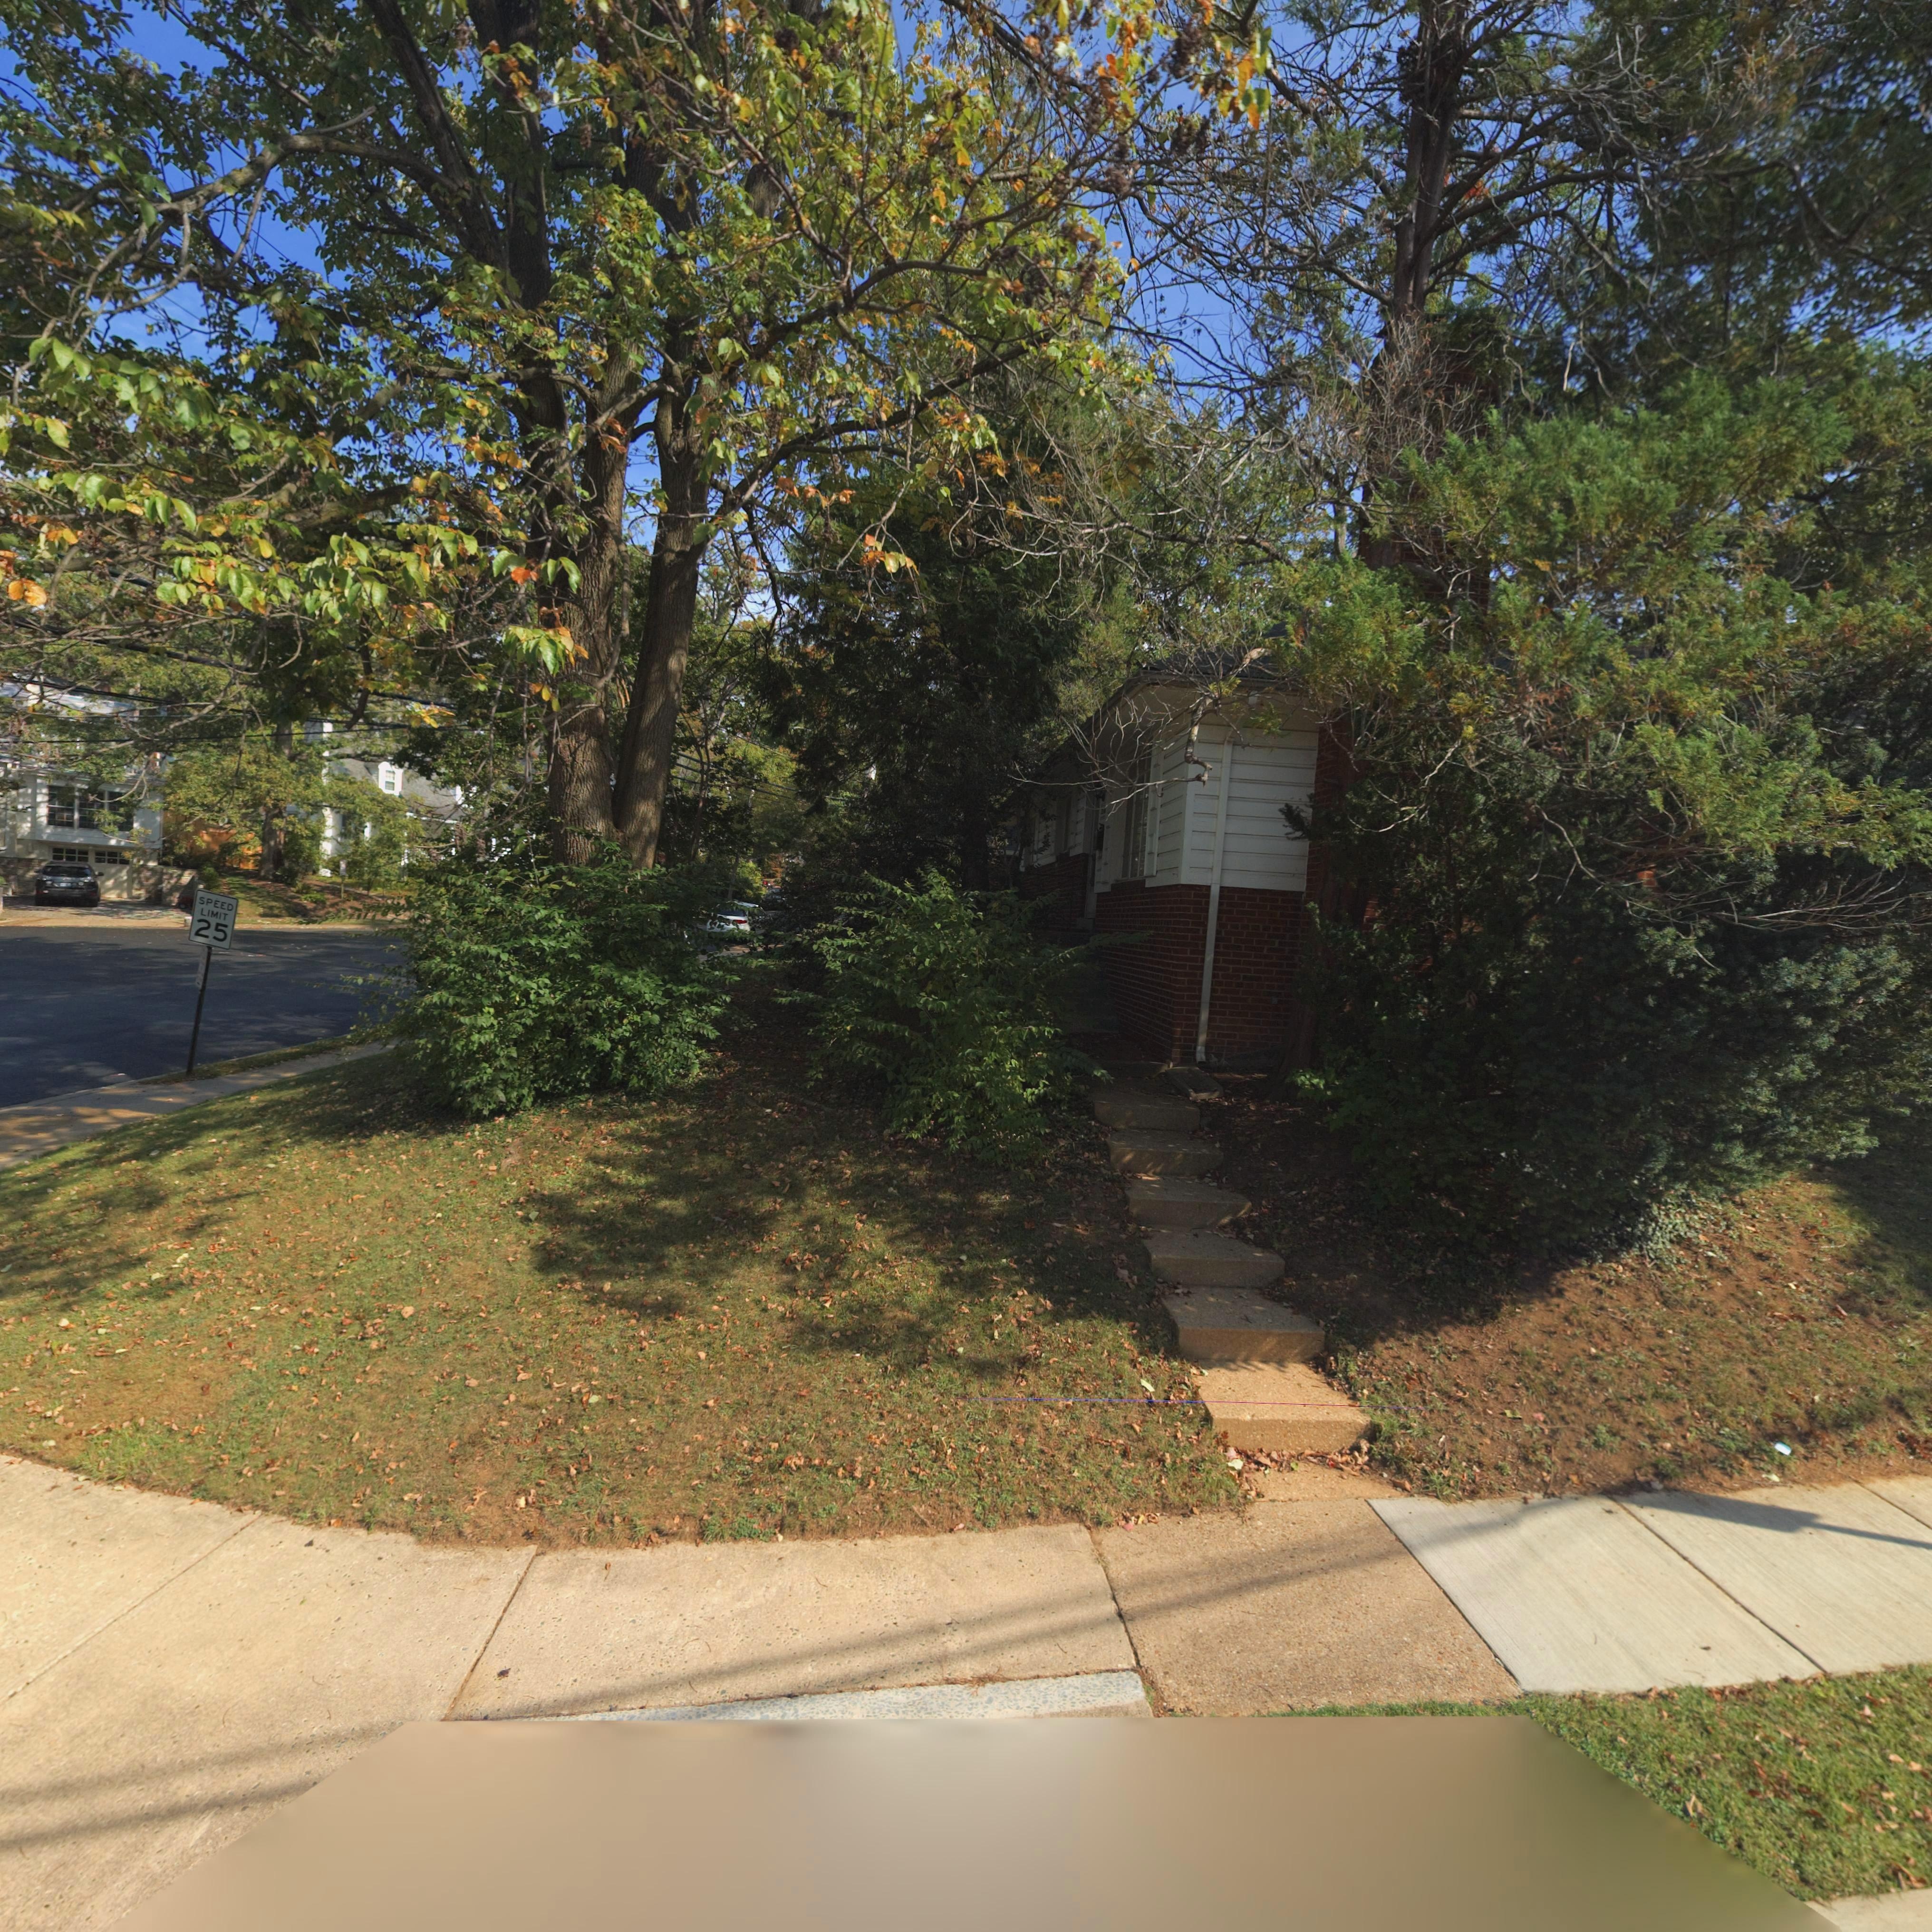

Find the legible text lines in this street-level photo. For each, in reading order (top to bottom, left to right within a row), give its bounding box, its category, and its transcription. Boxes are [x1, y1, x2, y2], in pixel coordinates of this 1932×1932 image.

[197, 895, 235, 913] None: SPEED
[198, 905, 230, 922] None: LIMIT
[191, 915, 231, 945] None: 25